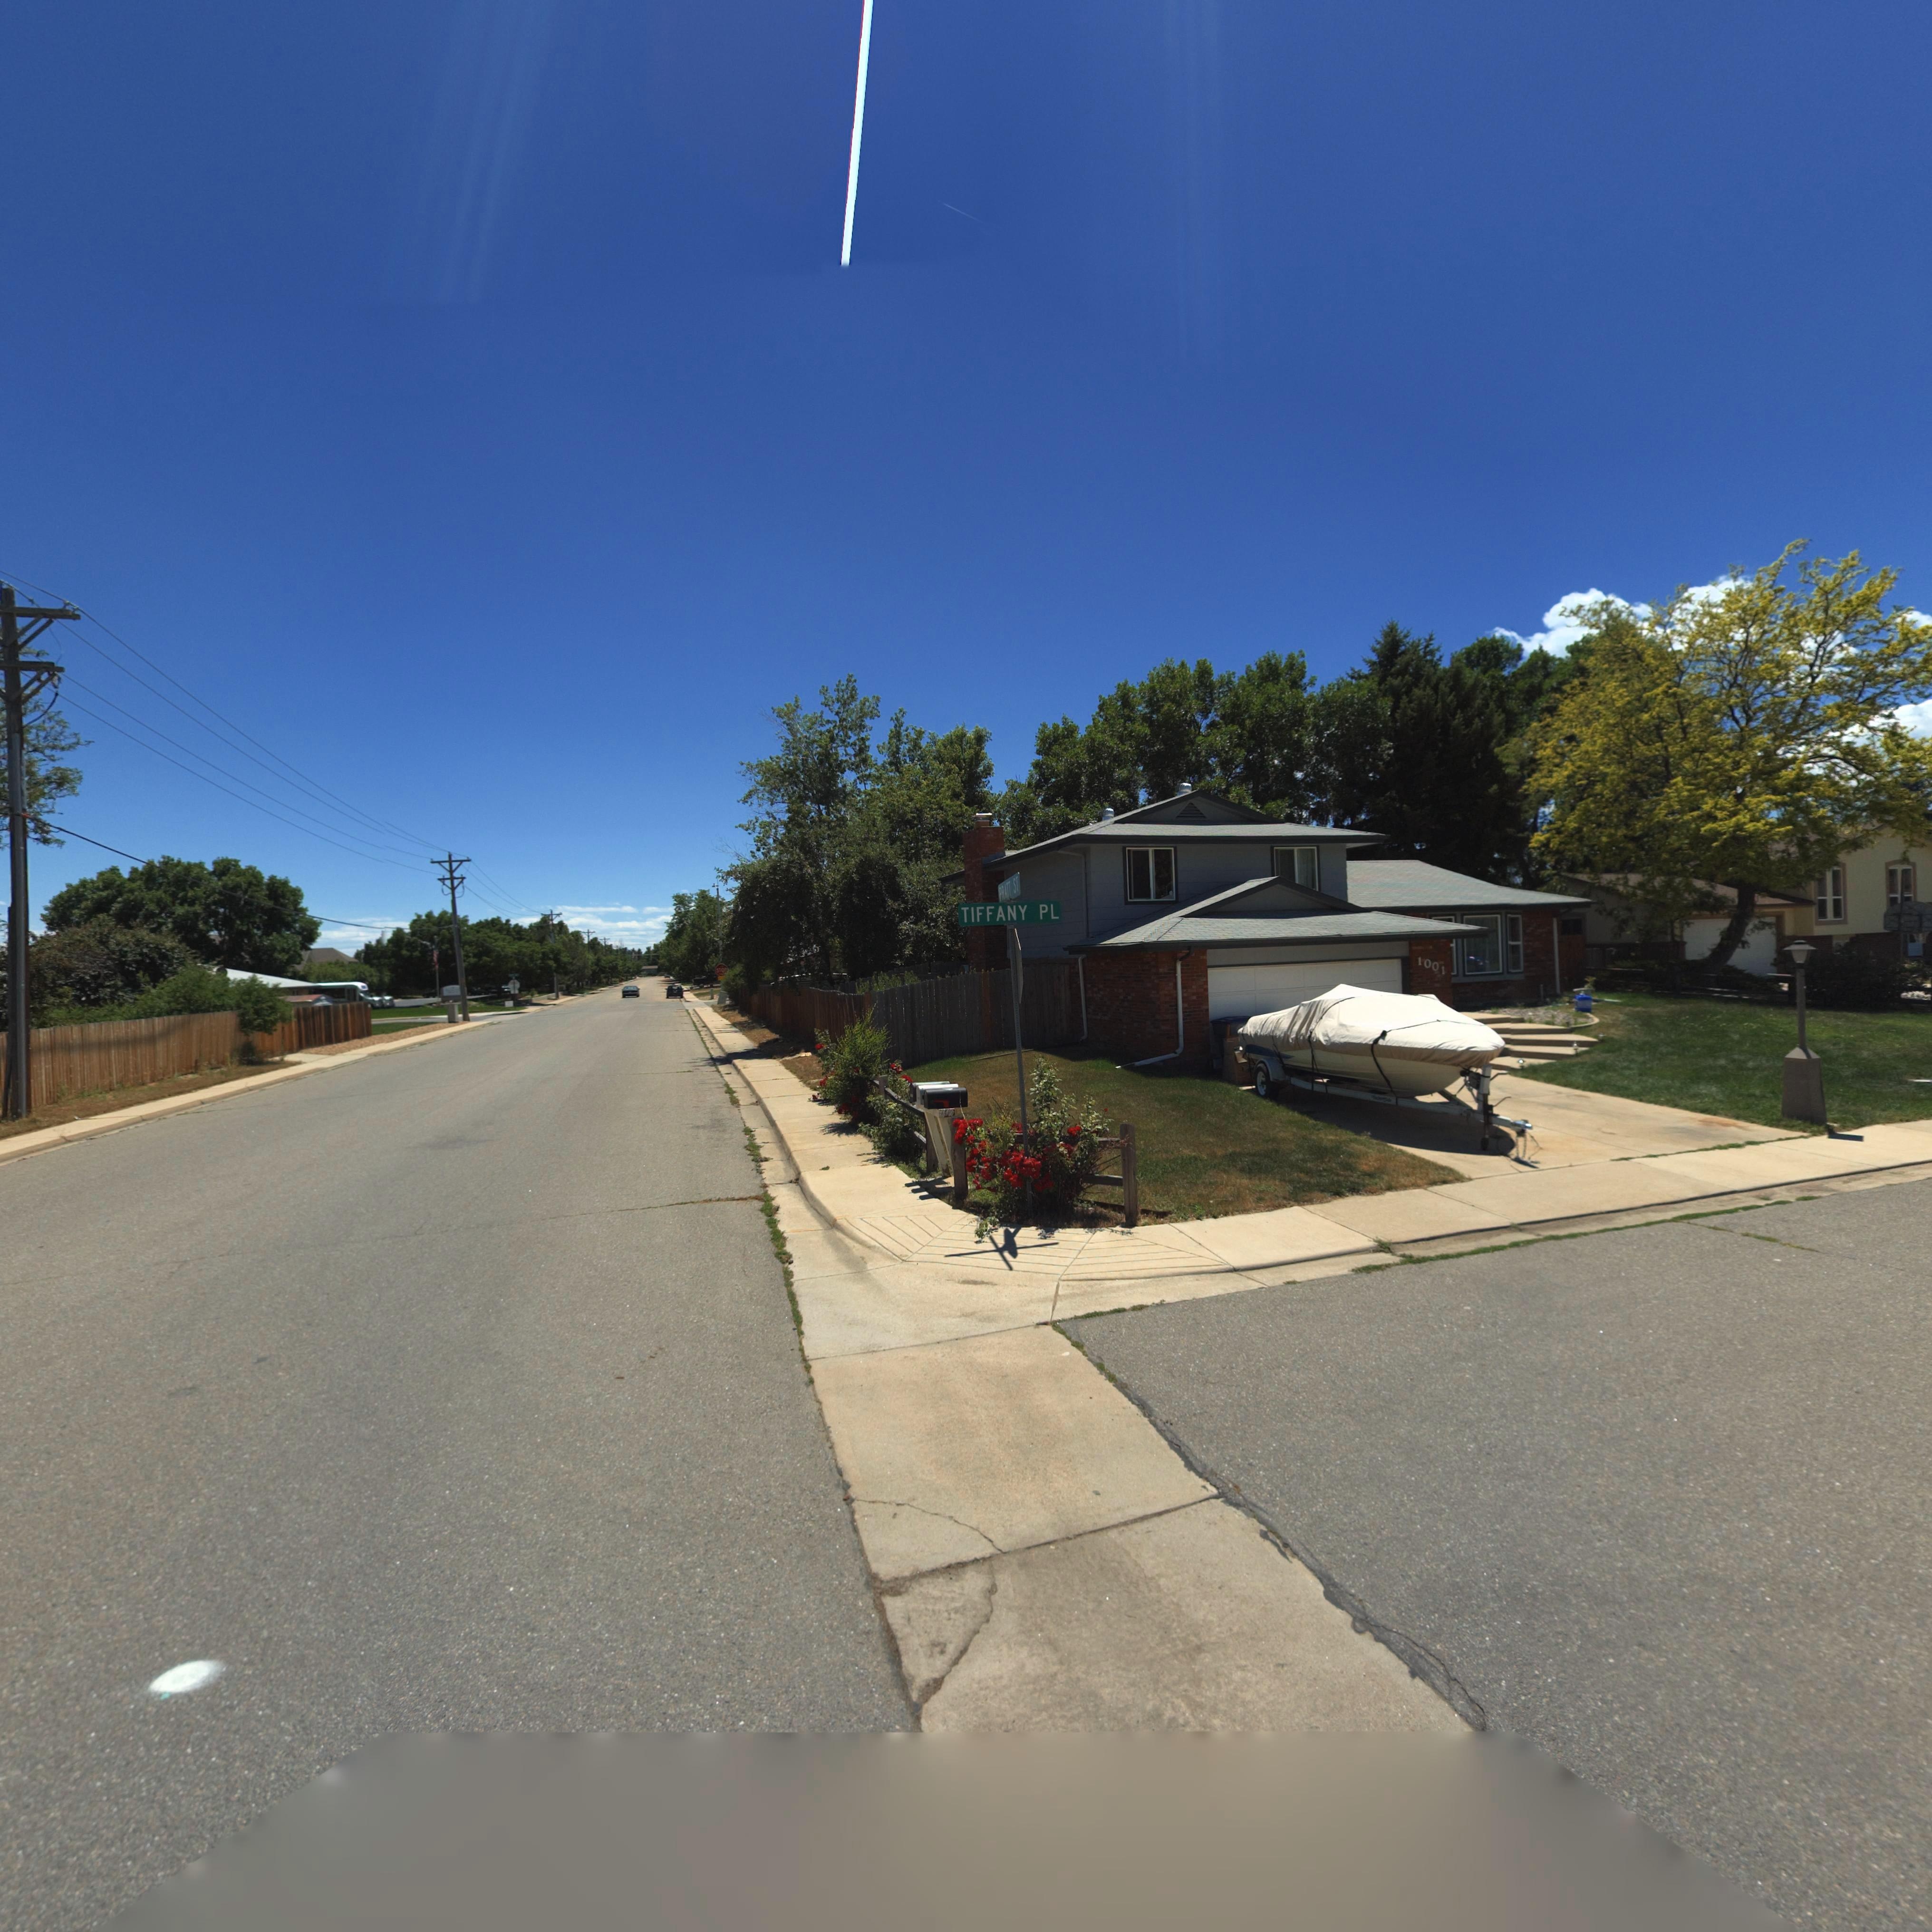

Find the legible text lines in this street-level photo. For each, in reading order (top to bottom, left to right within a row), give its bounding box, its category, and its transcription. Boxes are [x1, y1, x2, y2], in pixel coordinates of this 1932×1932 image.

[998, 875, 1019, 902] StreetName: PRATT ST
[960, 903, 1059, 923] StreetName: TIFFANY PL
[1417, 956, 1445, 975] StreetNumber: 1001